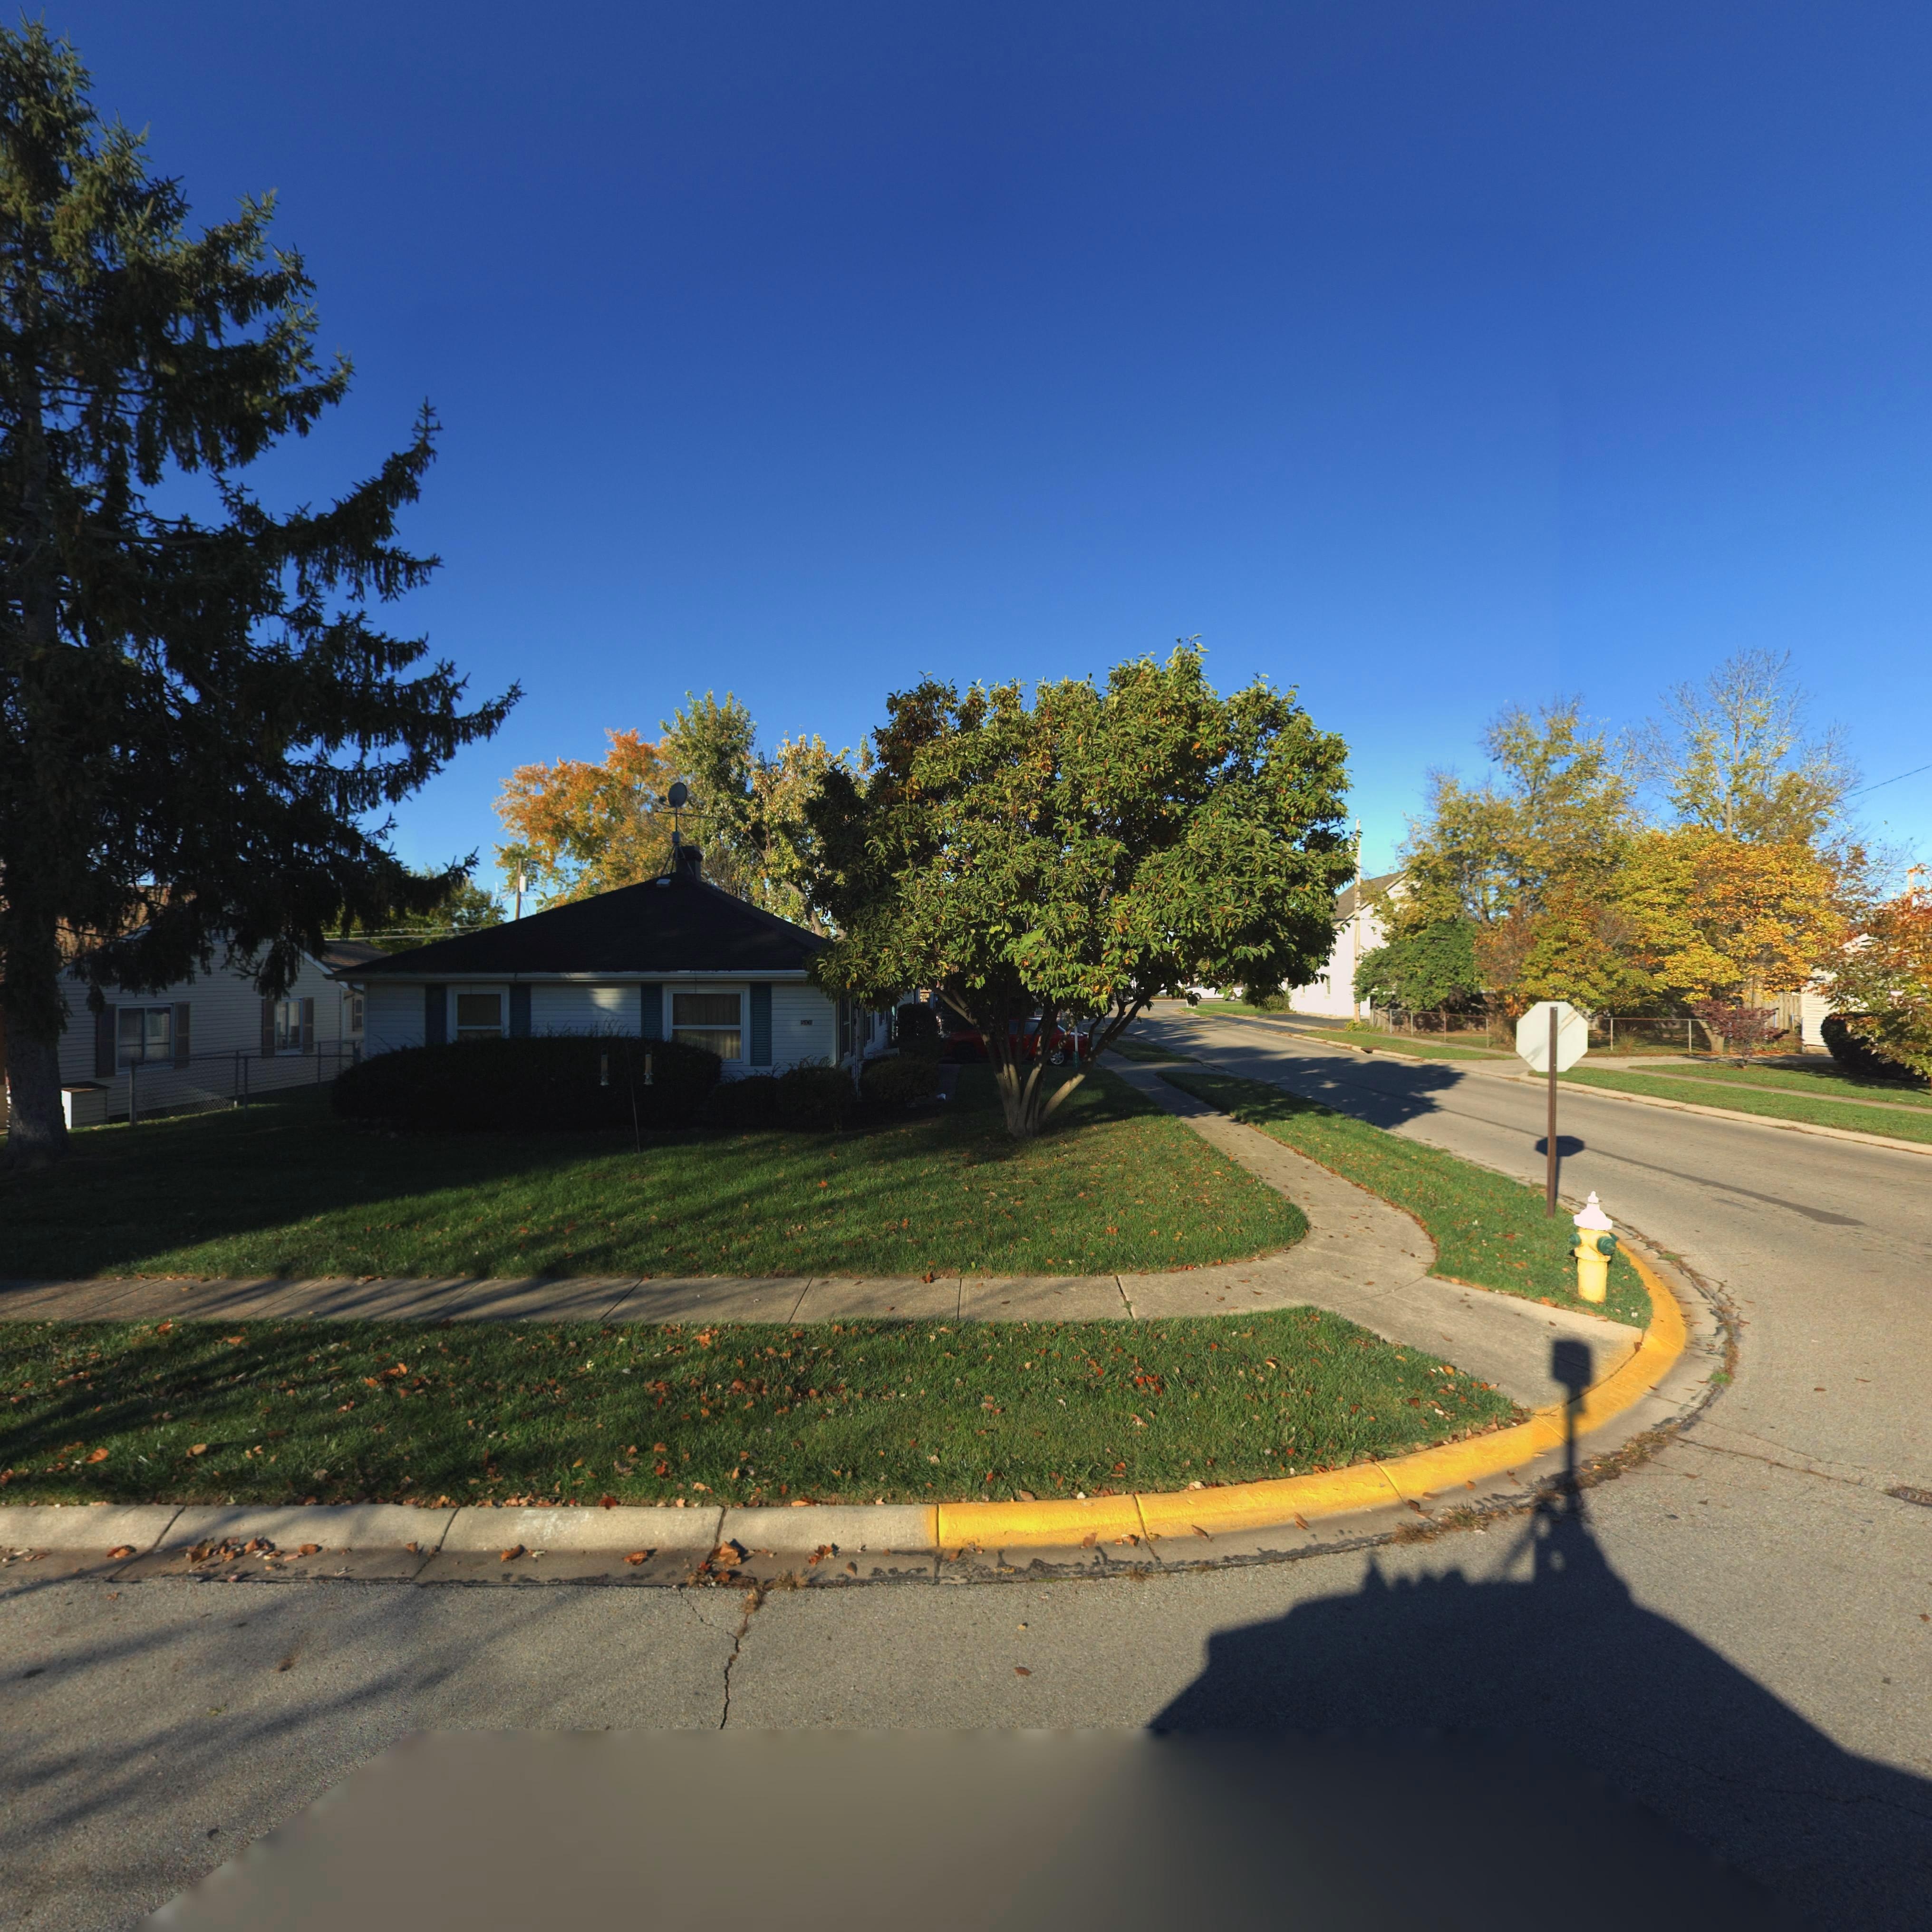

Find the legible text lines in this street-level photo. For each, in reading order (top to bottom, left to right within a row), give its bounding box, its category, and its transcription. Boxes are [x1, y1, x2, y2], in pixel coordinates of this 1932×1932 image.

[800, 1020, 812, 1025] StreetNumber: 5101
[1074, 1052, 1078, 1069] StreetNumber: 5101